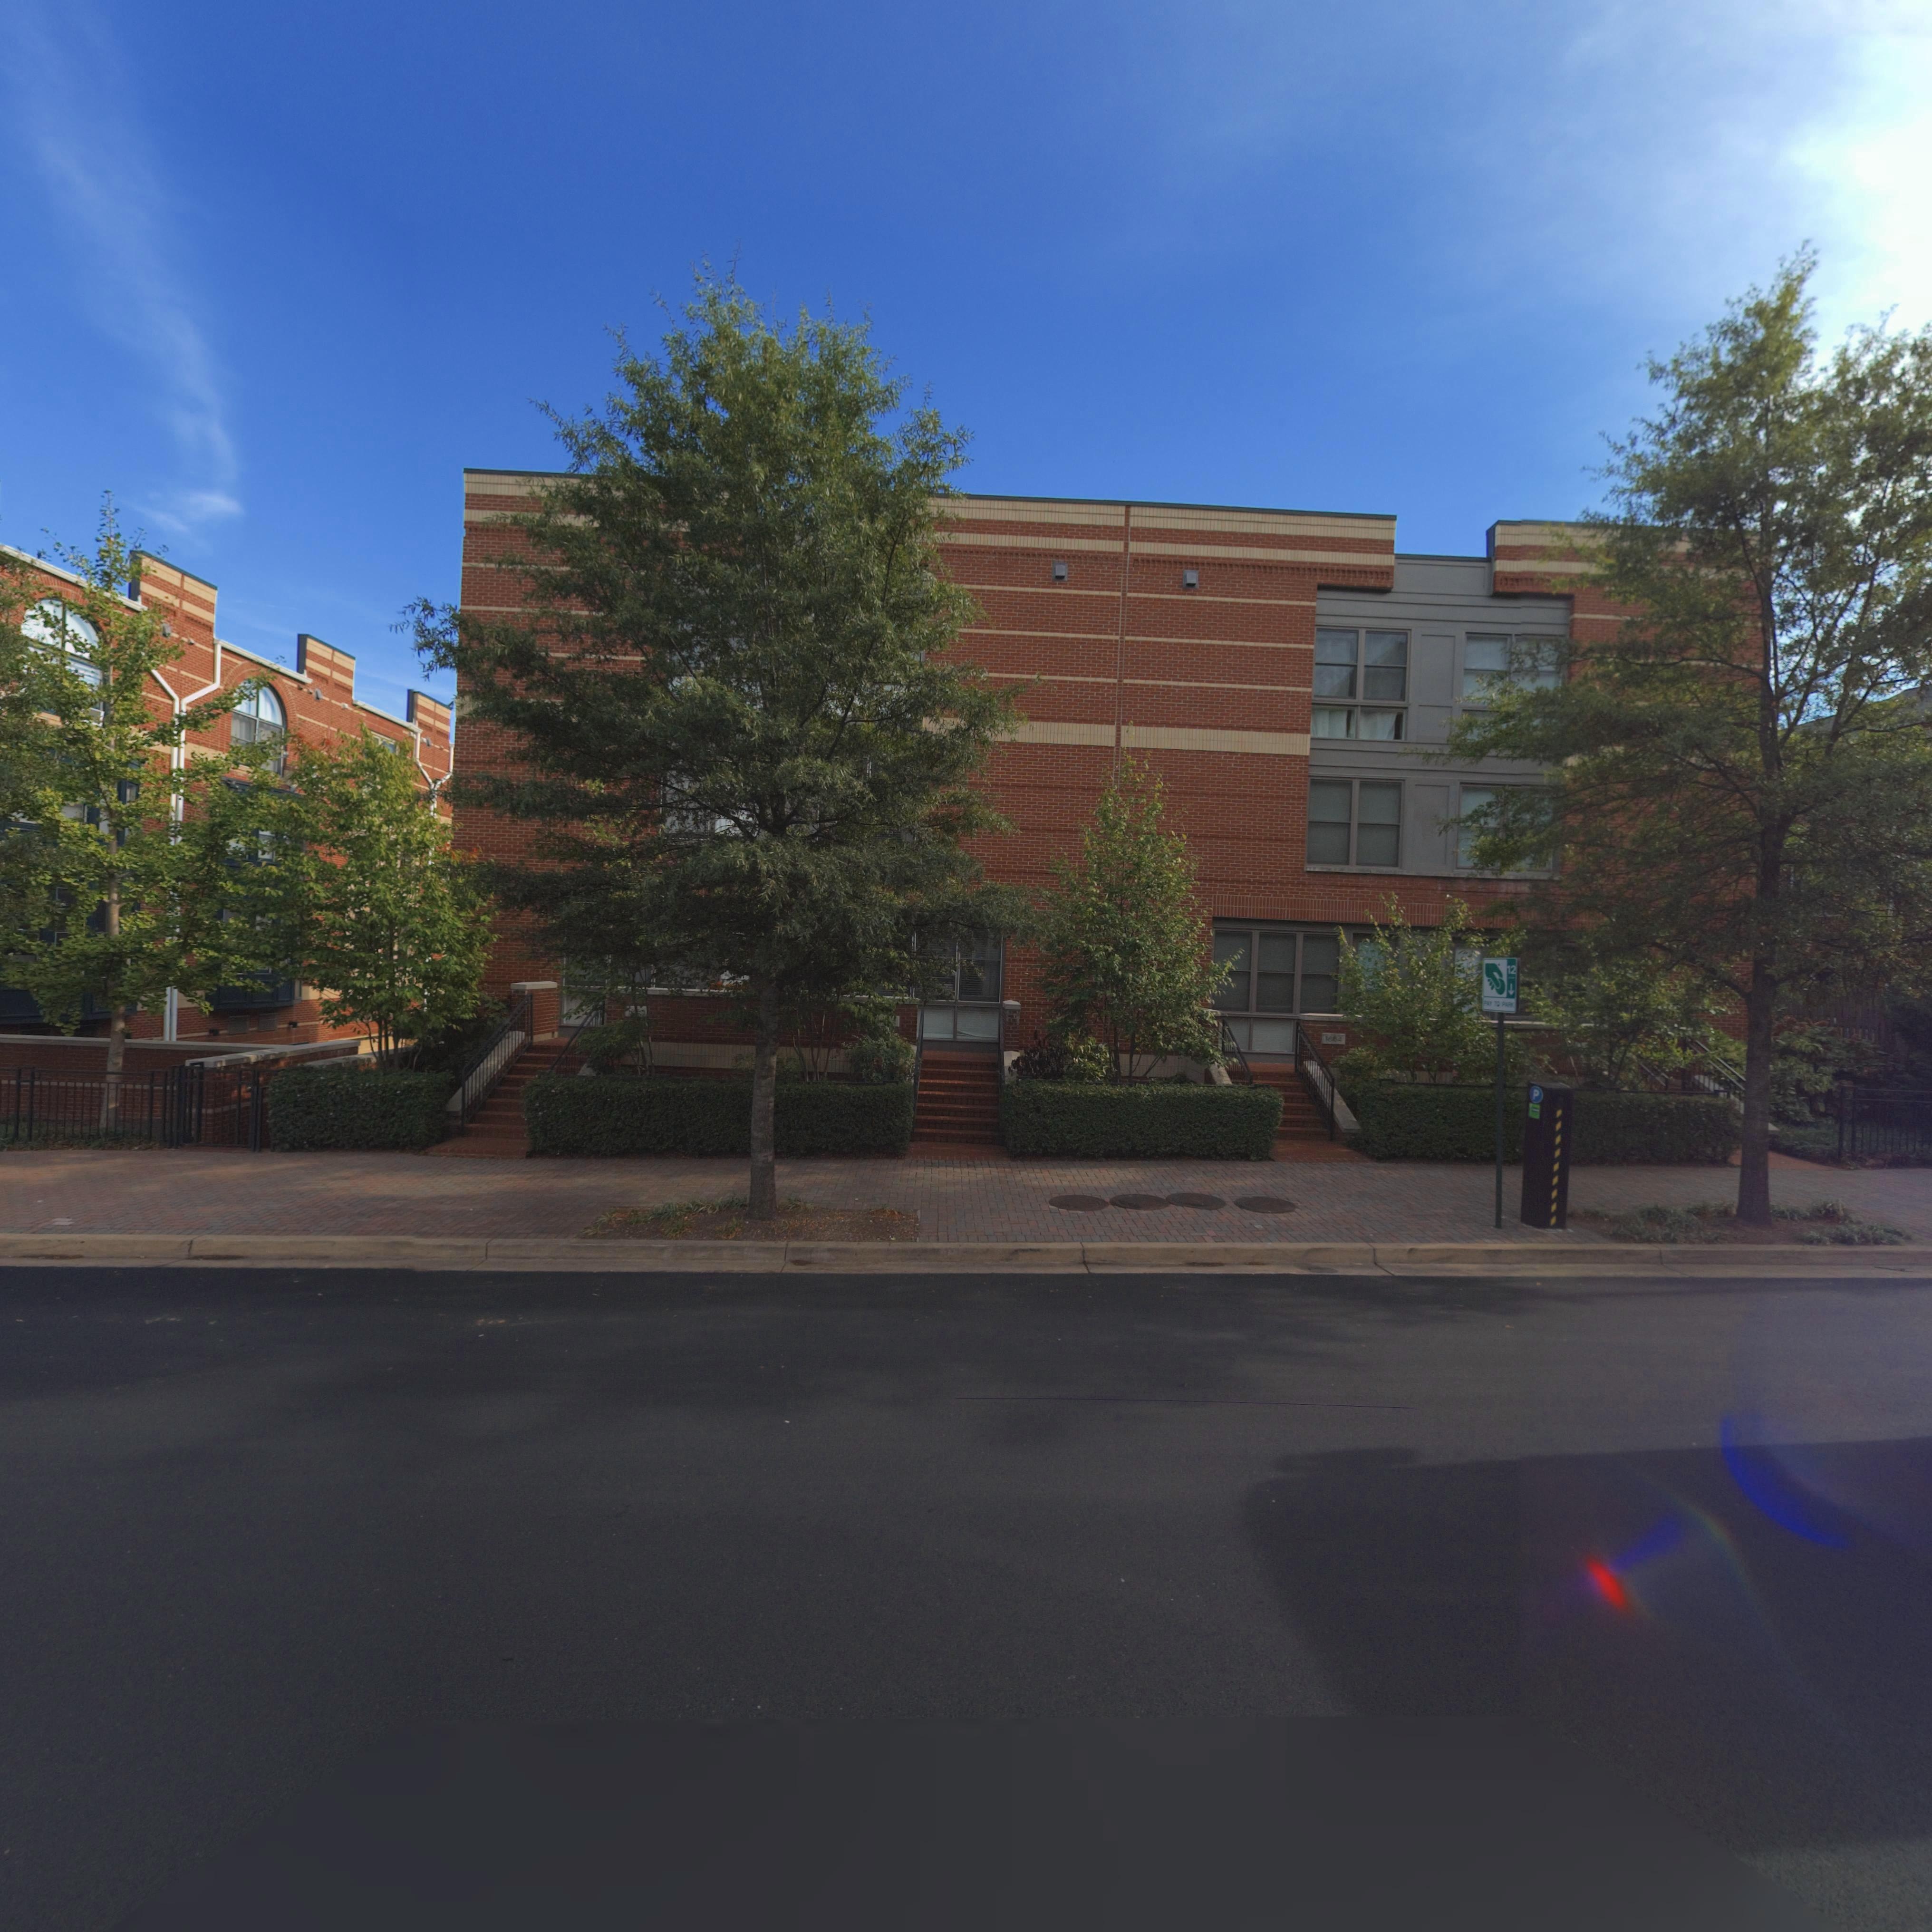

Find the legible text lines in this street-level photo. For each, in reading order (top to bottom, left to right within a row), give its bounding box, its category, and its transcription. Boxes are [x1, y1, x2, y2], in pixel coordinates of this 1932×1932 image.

[1506, 964, 1517, 975] None: 12
[1482, 998, 1516, 1009] None: PAY TO PARK
[1324, 1034, 1344, 1043] StreetNumber: 18*4
[1532, 1087, 1541, 1101] None: P